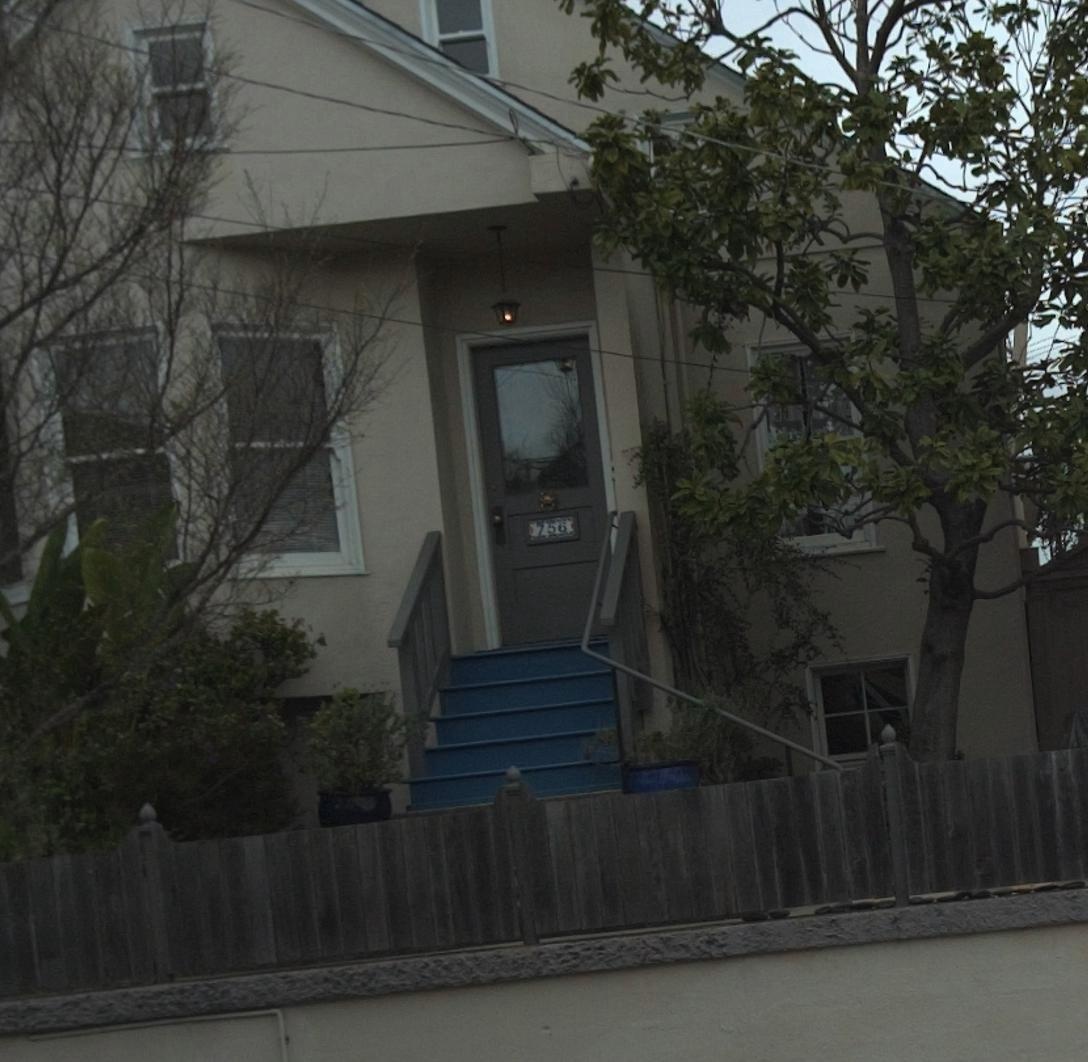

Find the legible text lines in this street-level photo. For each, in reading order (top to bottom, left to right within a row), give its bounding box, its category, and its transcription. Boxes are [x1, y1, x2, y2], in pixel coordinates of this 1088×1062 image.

[534, 520, 568, 538] StreetNumber: 756